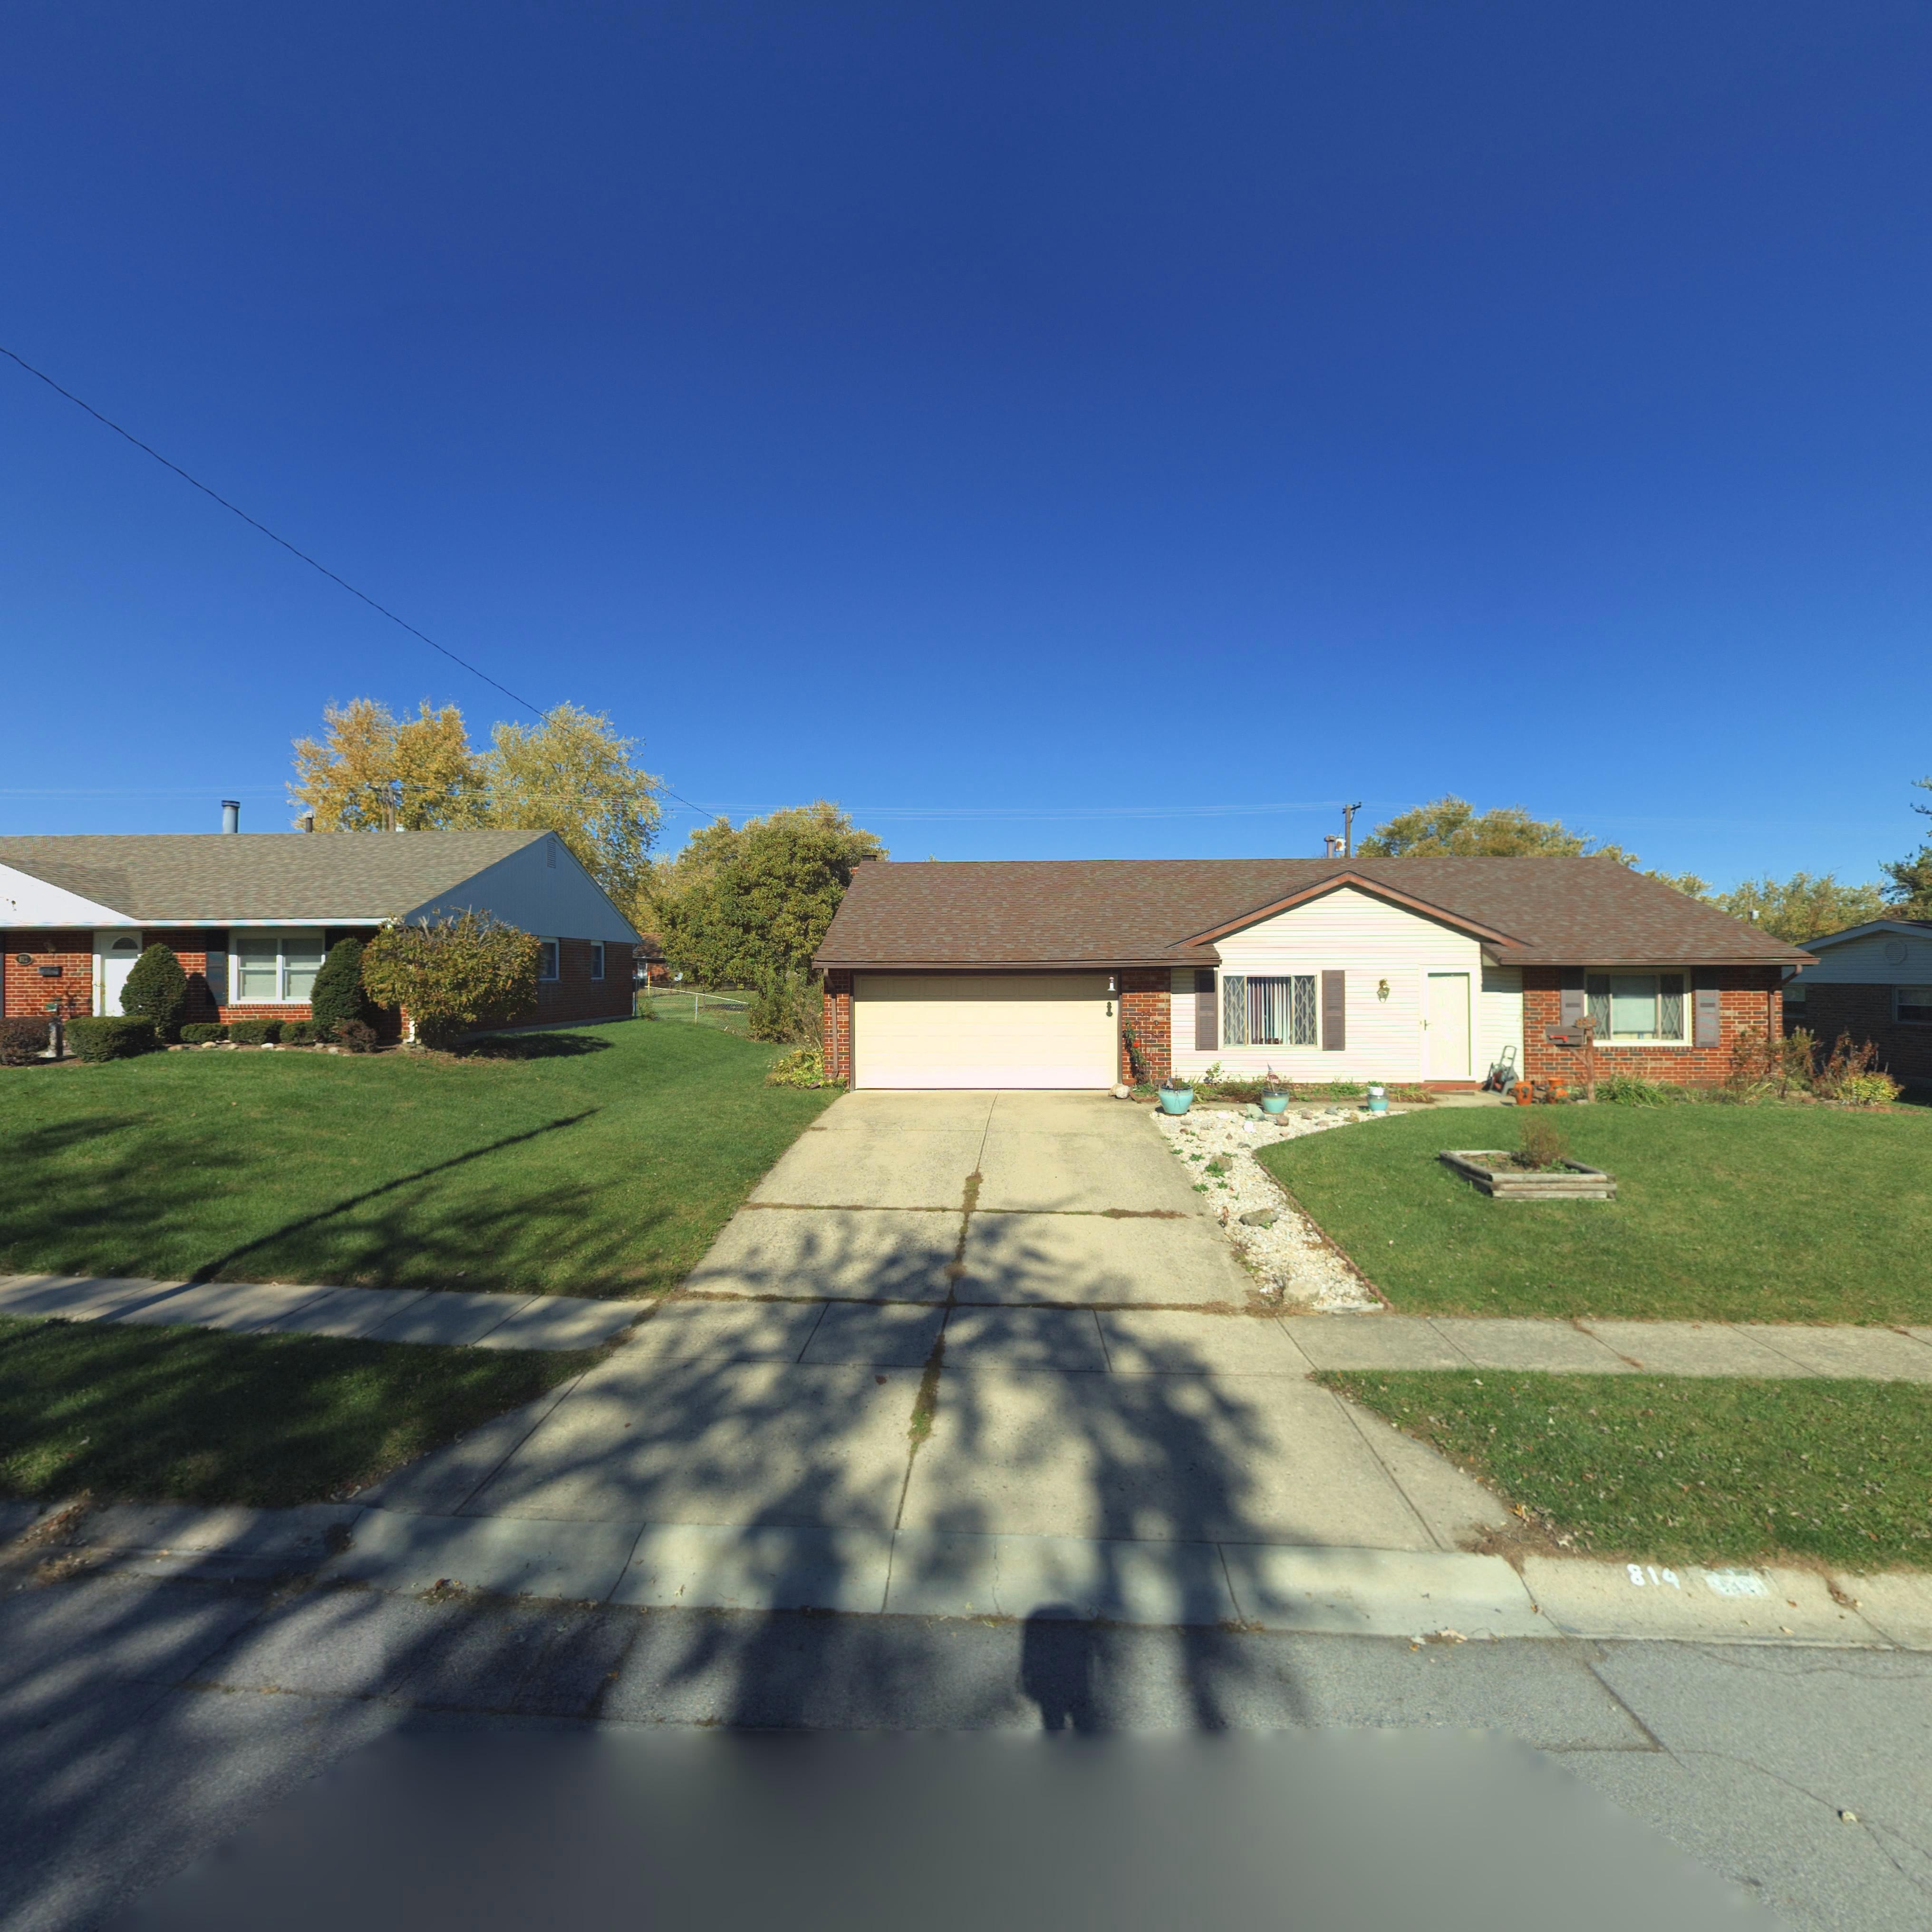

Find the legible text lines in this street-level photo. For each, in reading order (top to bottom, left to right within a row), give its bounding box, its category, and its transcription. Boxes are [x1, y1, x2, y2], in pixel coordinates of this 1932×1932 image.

[19, 956, 29, 963] StreetNumber: *12
[1576, 1016, 1596, 1027] StreetNumber: 814
[1626, 1562, 1682, 1591] StreetNumber: 814